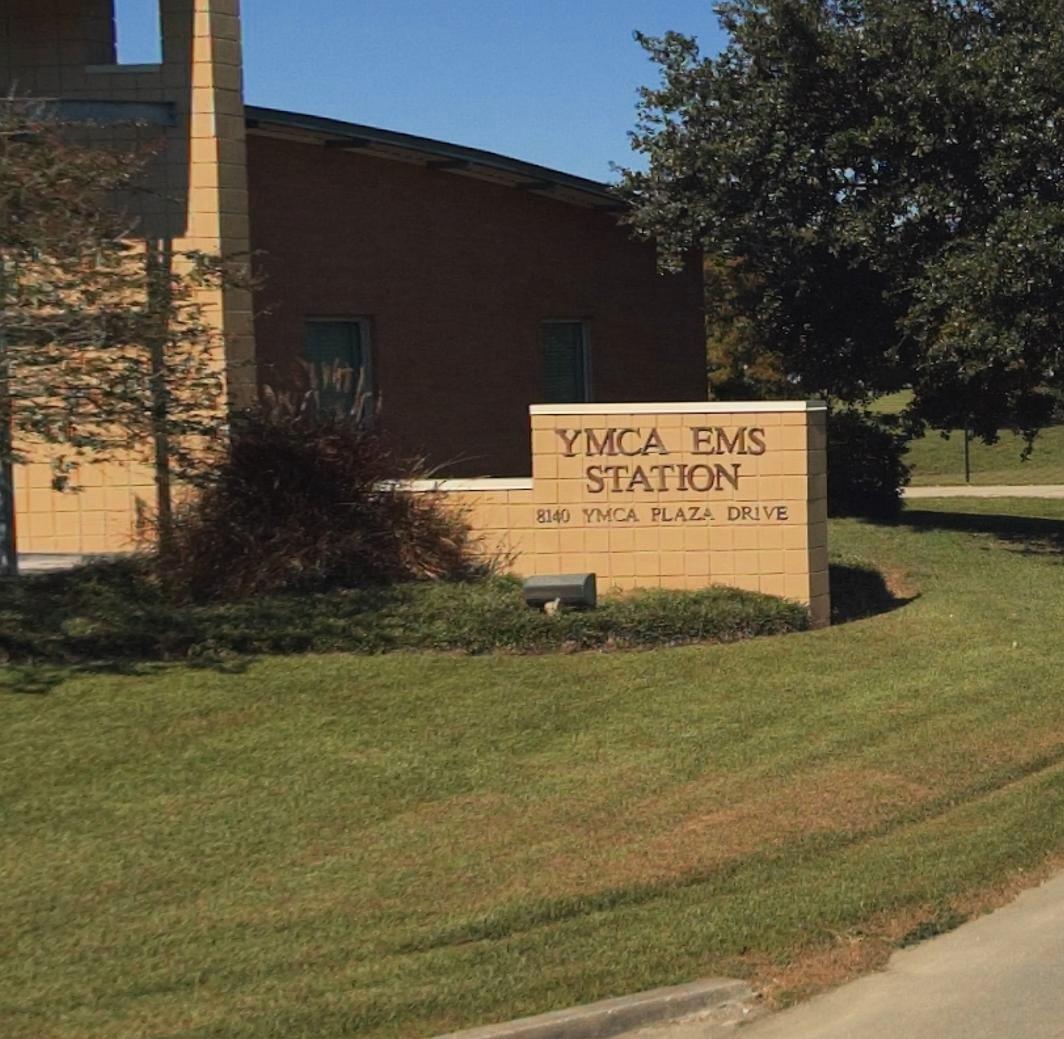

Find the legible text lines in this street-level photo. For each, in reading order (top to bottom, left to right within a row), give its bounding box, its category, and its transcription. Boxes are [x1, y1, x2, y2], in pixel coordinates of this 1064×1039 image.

[553, 425, 767, 457] BusinessName: YMCA EMS
[585, 462, 743, 493] BusinessName: STATION
[535, 506, 572, 524] StreetNumber: 8140
[581, 504, 790, 523] StreetName: YMCA PLAZA DRIVE